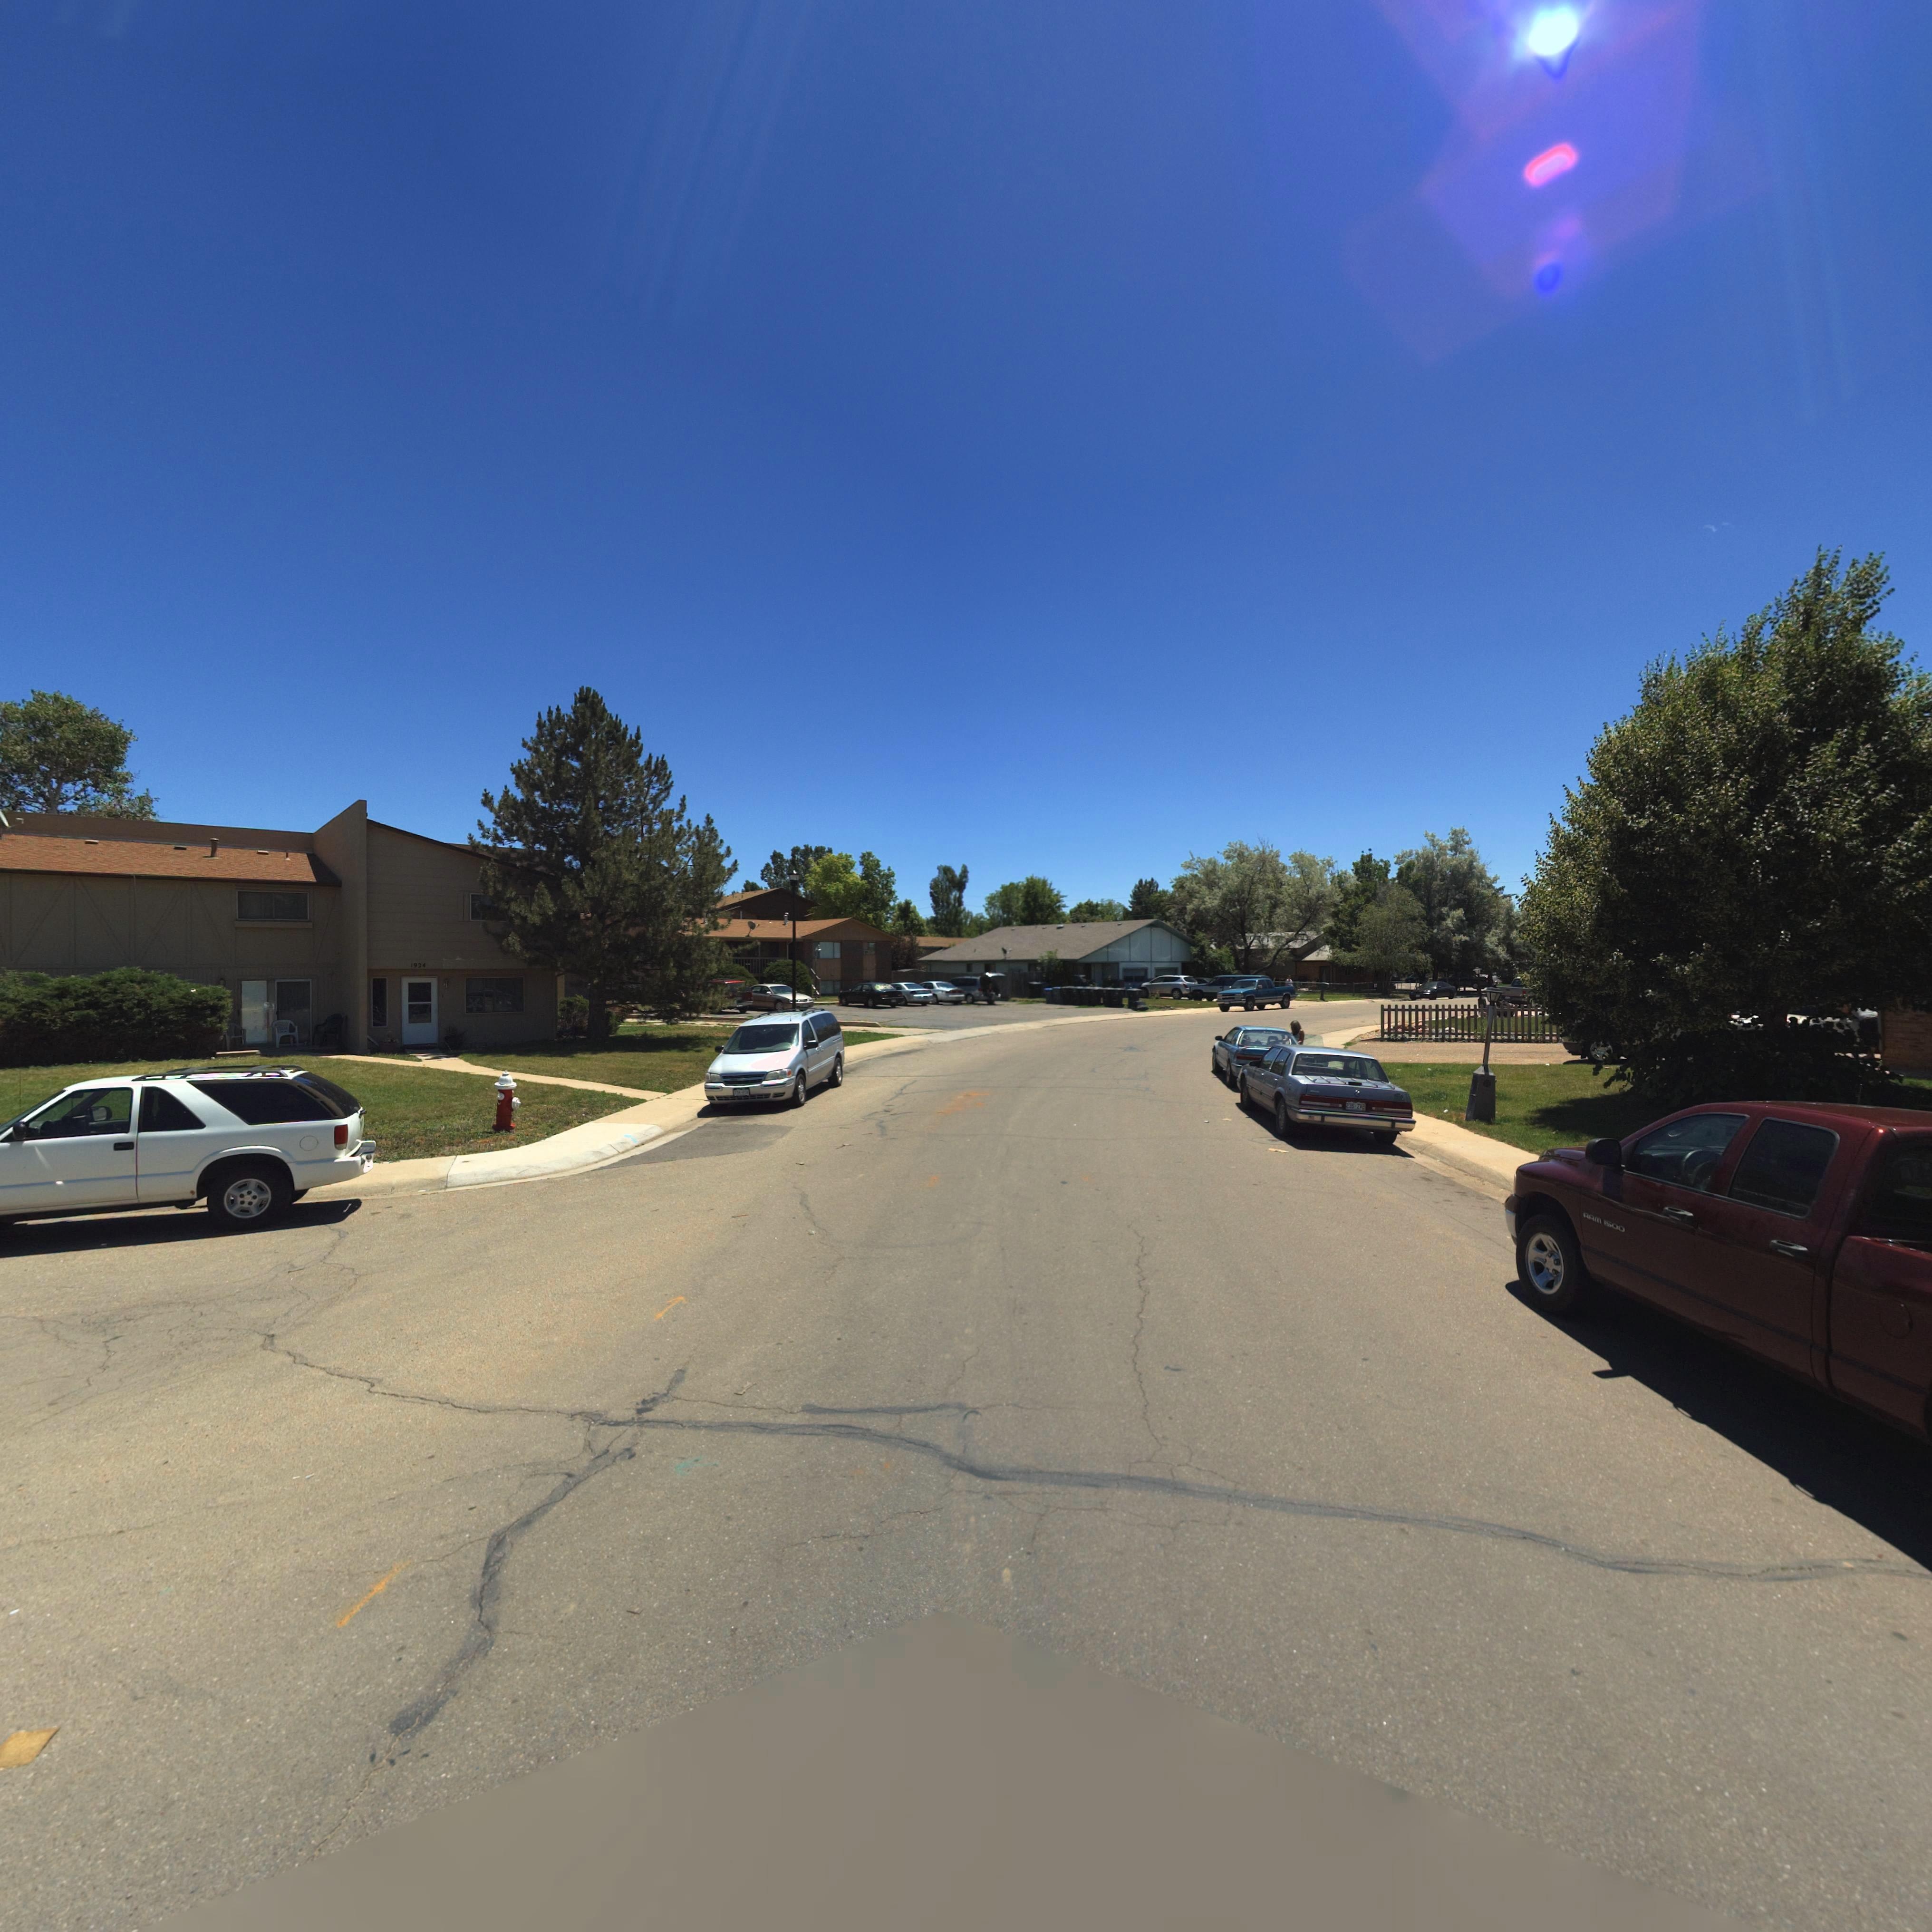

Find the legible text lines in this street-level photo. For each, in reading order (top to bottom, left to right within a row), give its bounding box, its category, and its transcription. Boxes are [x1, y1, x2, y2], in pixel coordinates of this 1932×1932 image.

[411, 962, 425, 968] StreetNumber: 1924
[441, 994, 444, 997] StreetNumber: 1